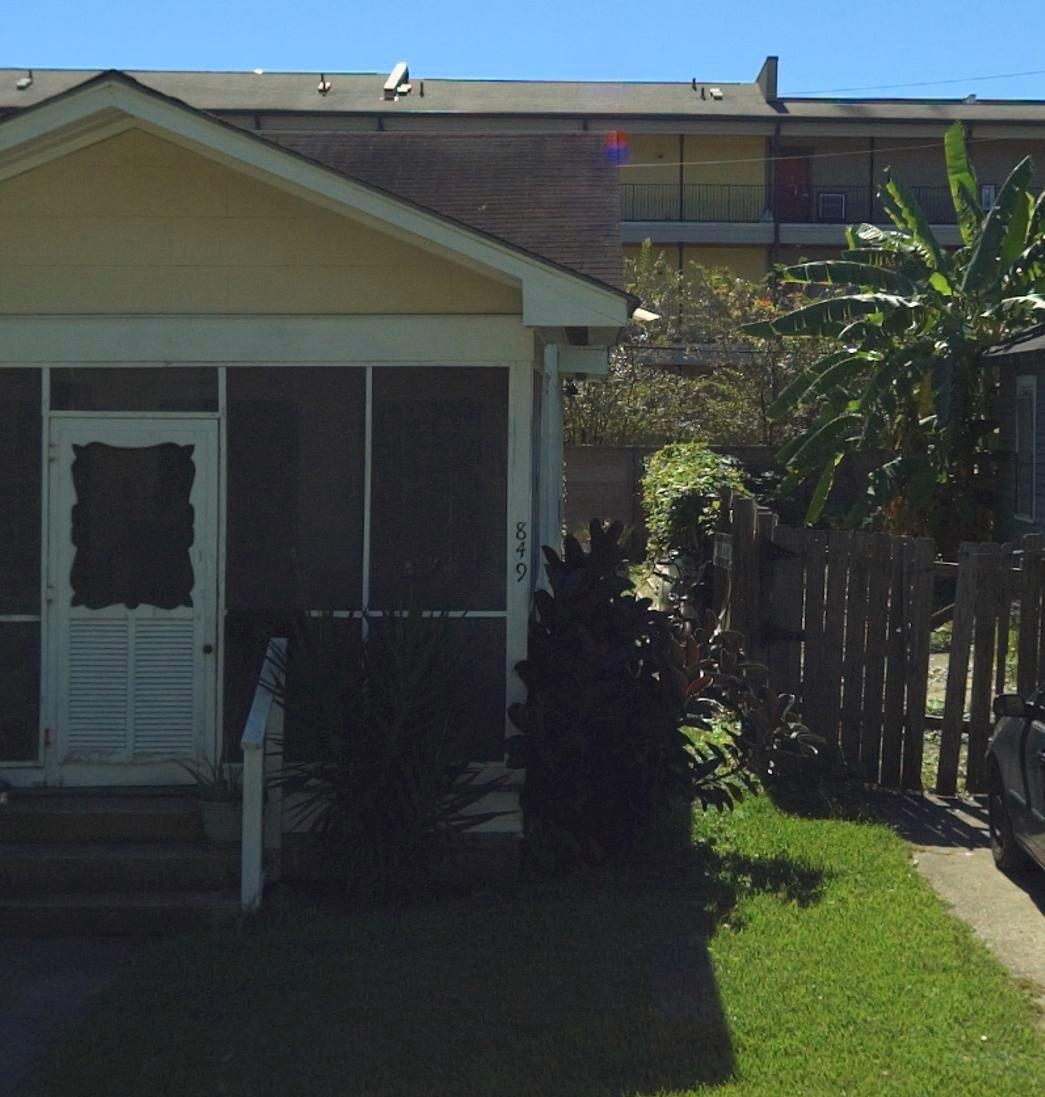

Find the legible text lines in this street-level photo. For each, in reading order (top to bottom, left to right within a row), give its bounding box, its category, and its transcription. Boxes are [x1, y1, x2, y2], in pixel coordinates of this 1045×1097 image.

[515, 521, 528, 583] StreetNumber: 849